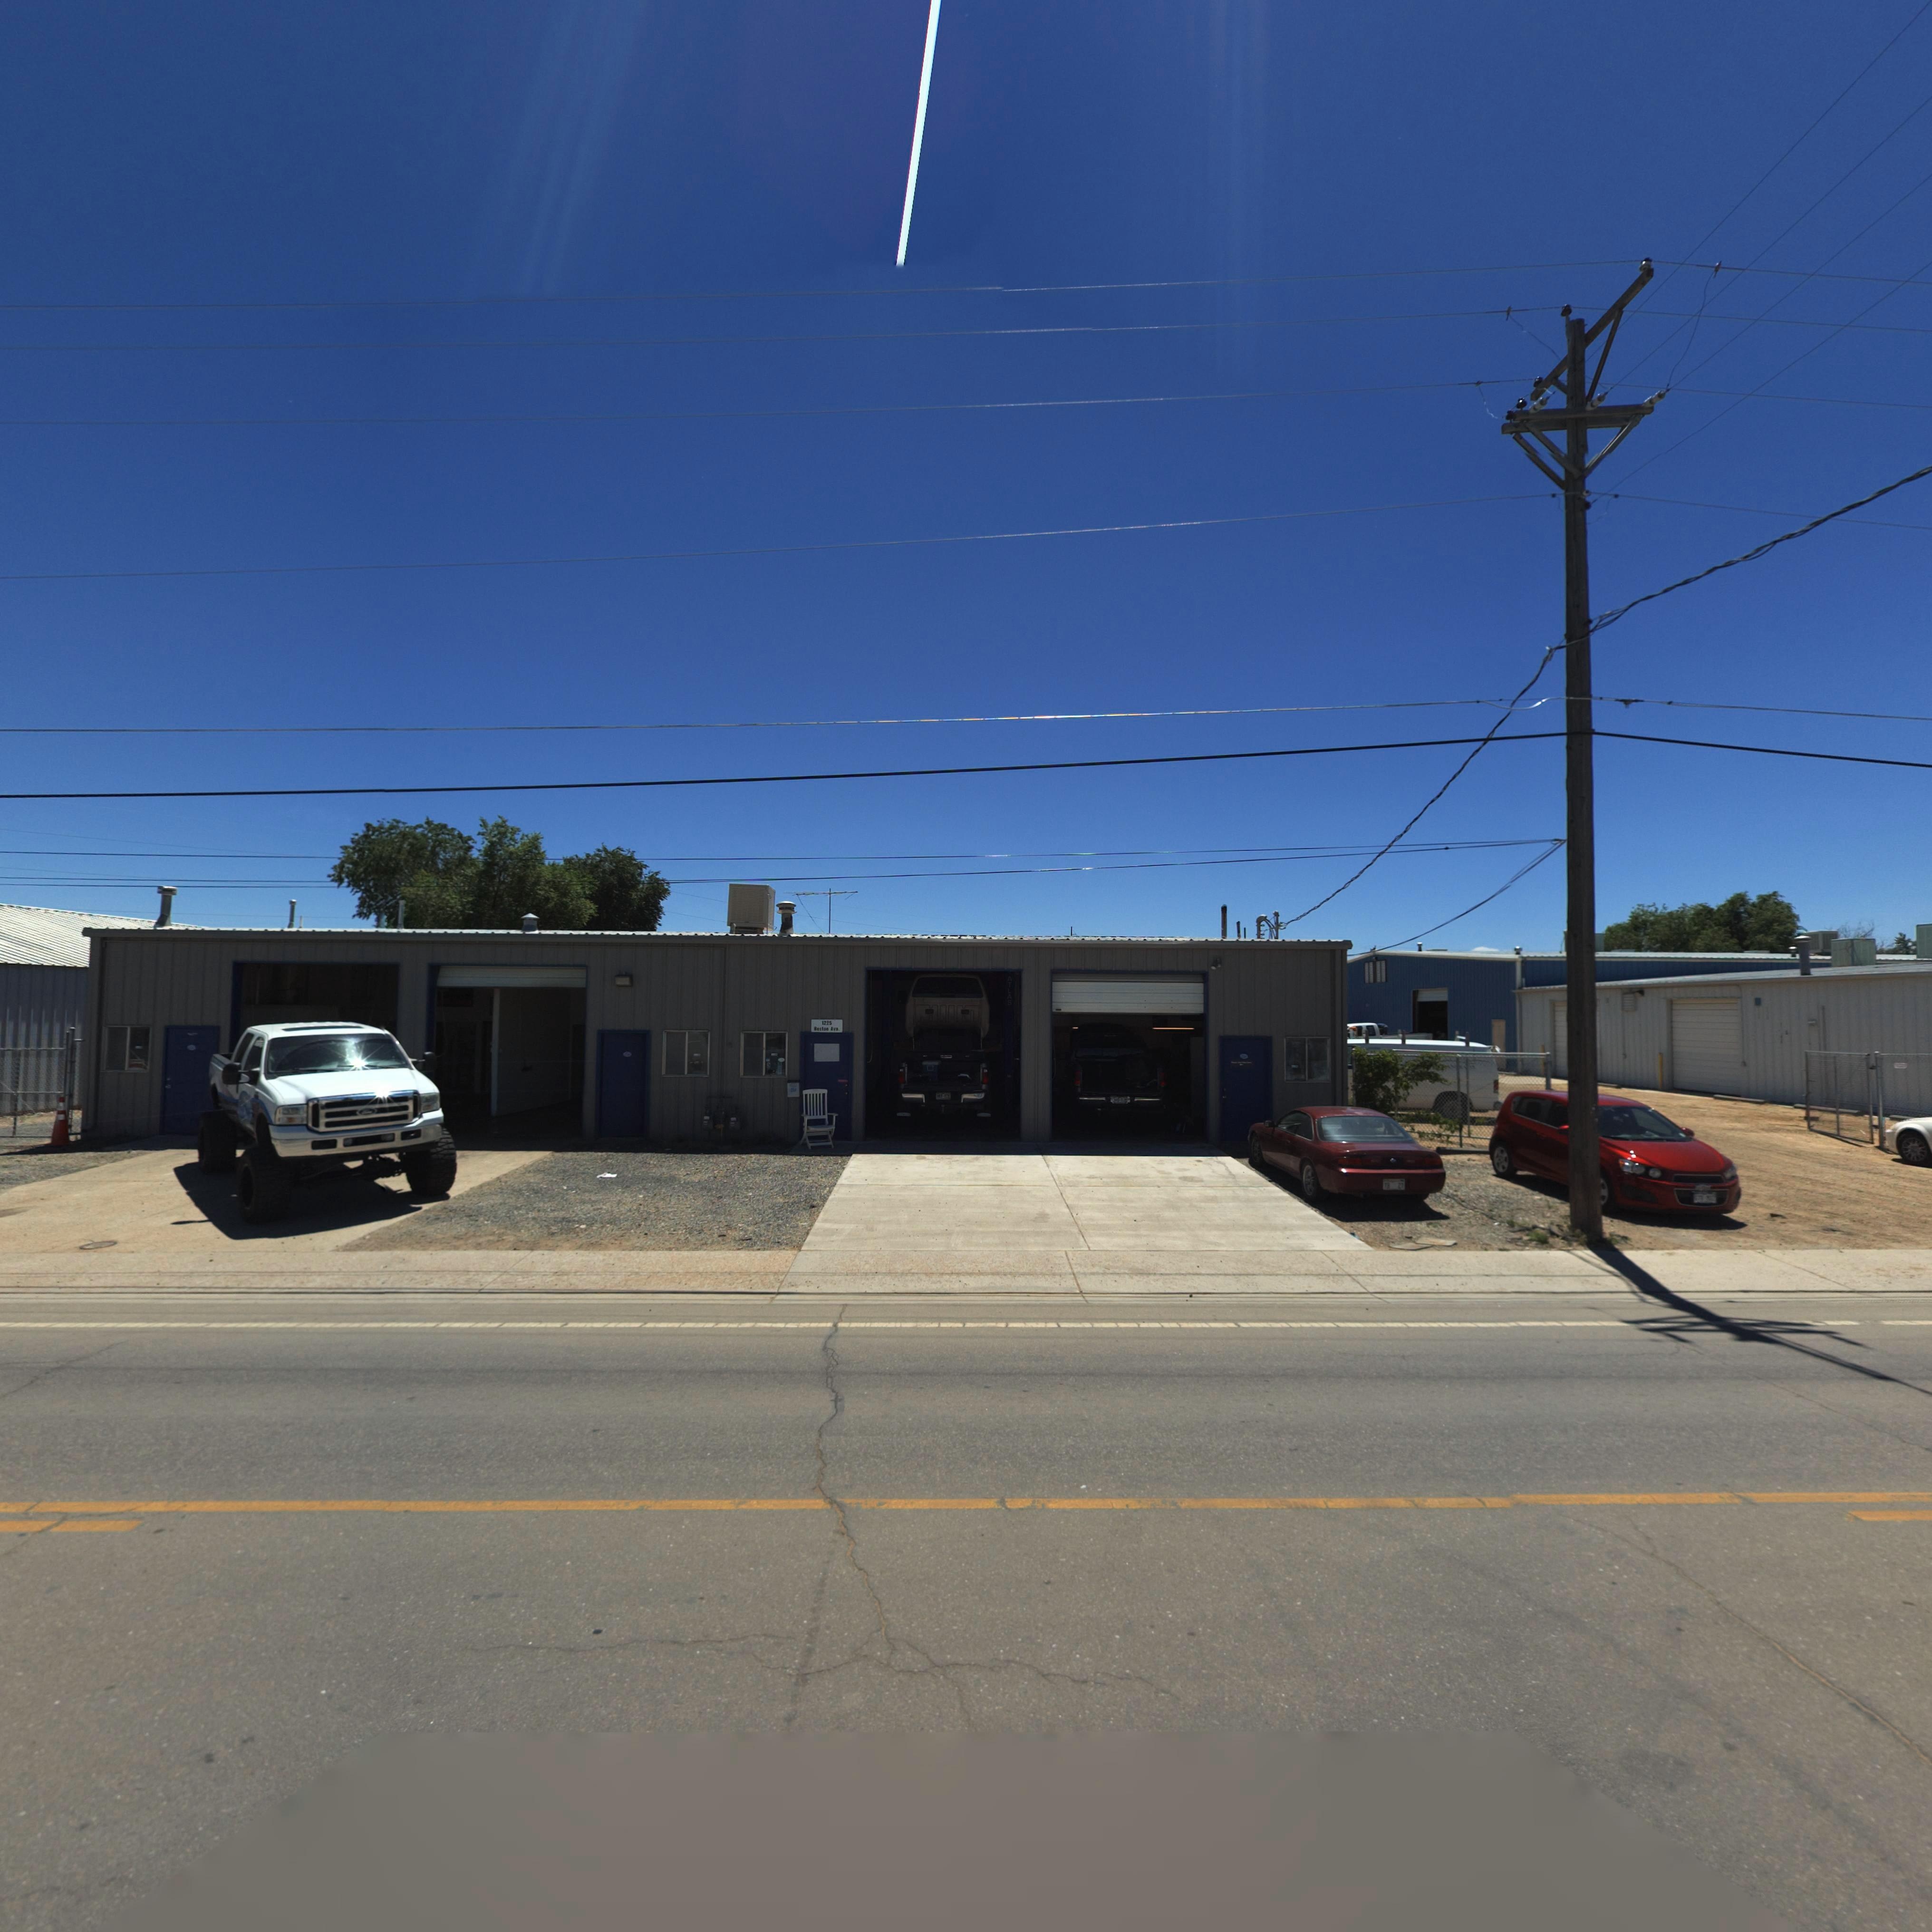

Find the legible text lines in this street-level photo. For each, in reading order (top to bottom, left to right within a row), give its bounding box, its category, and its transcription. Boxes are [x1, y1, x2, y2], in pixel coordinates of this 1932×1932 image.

[822, 1020, 831, 1024] StreetNumber: 1225
[813, 1026, 840, 1031] StreetName: Boston Ave